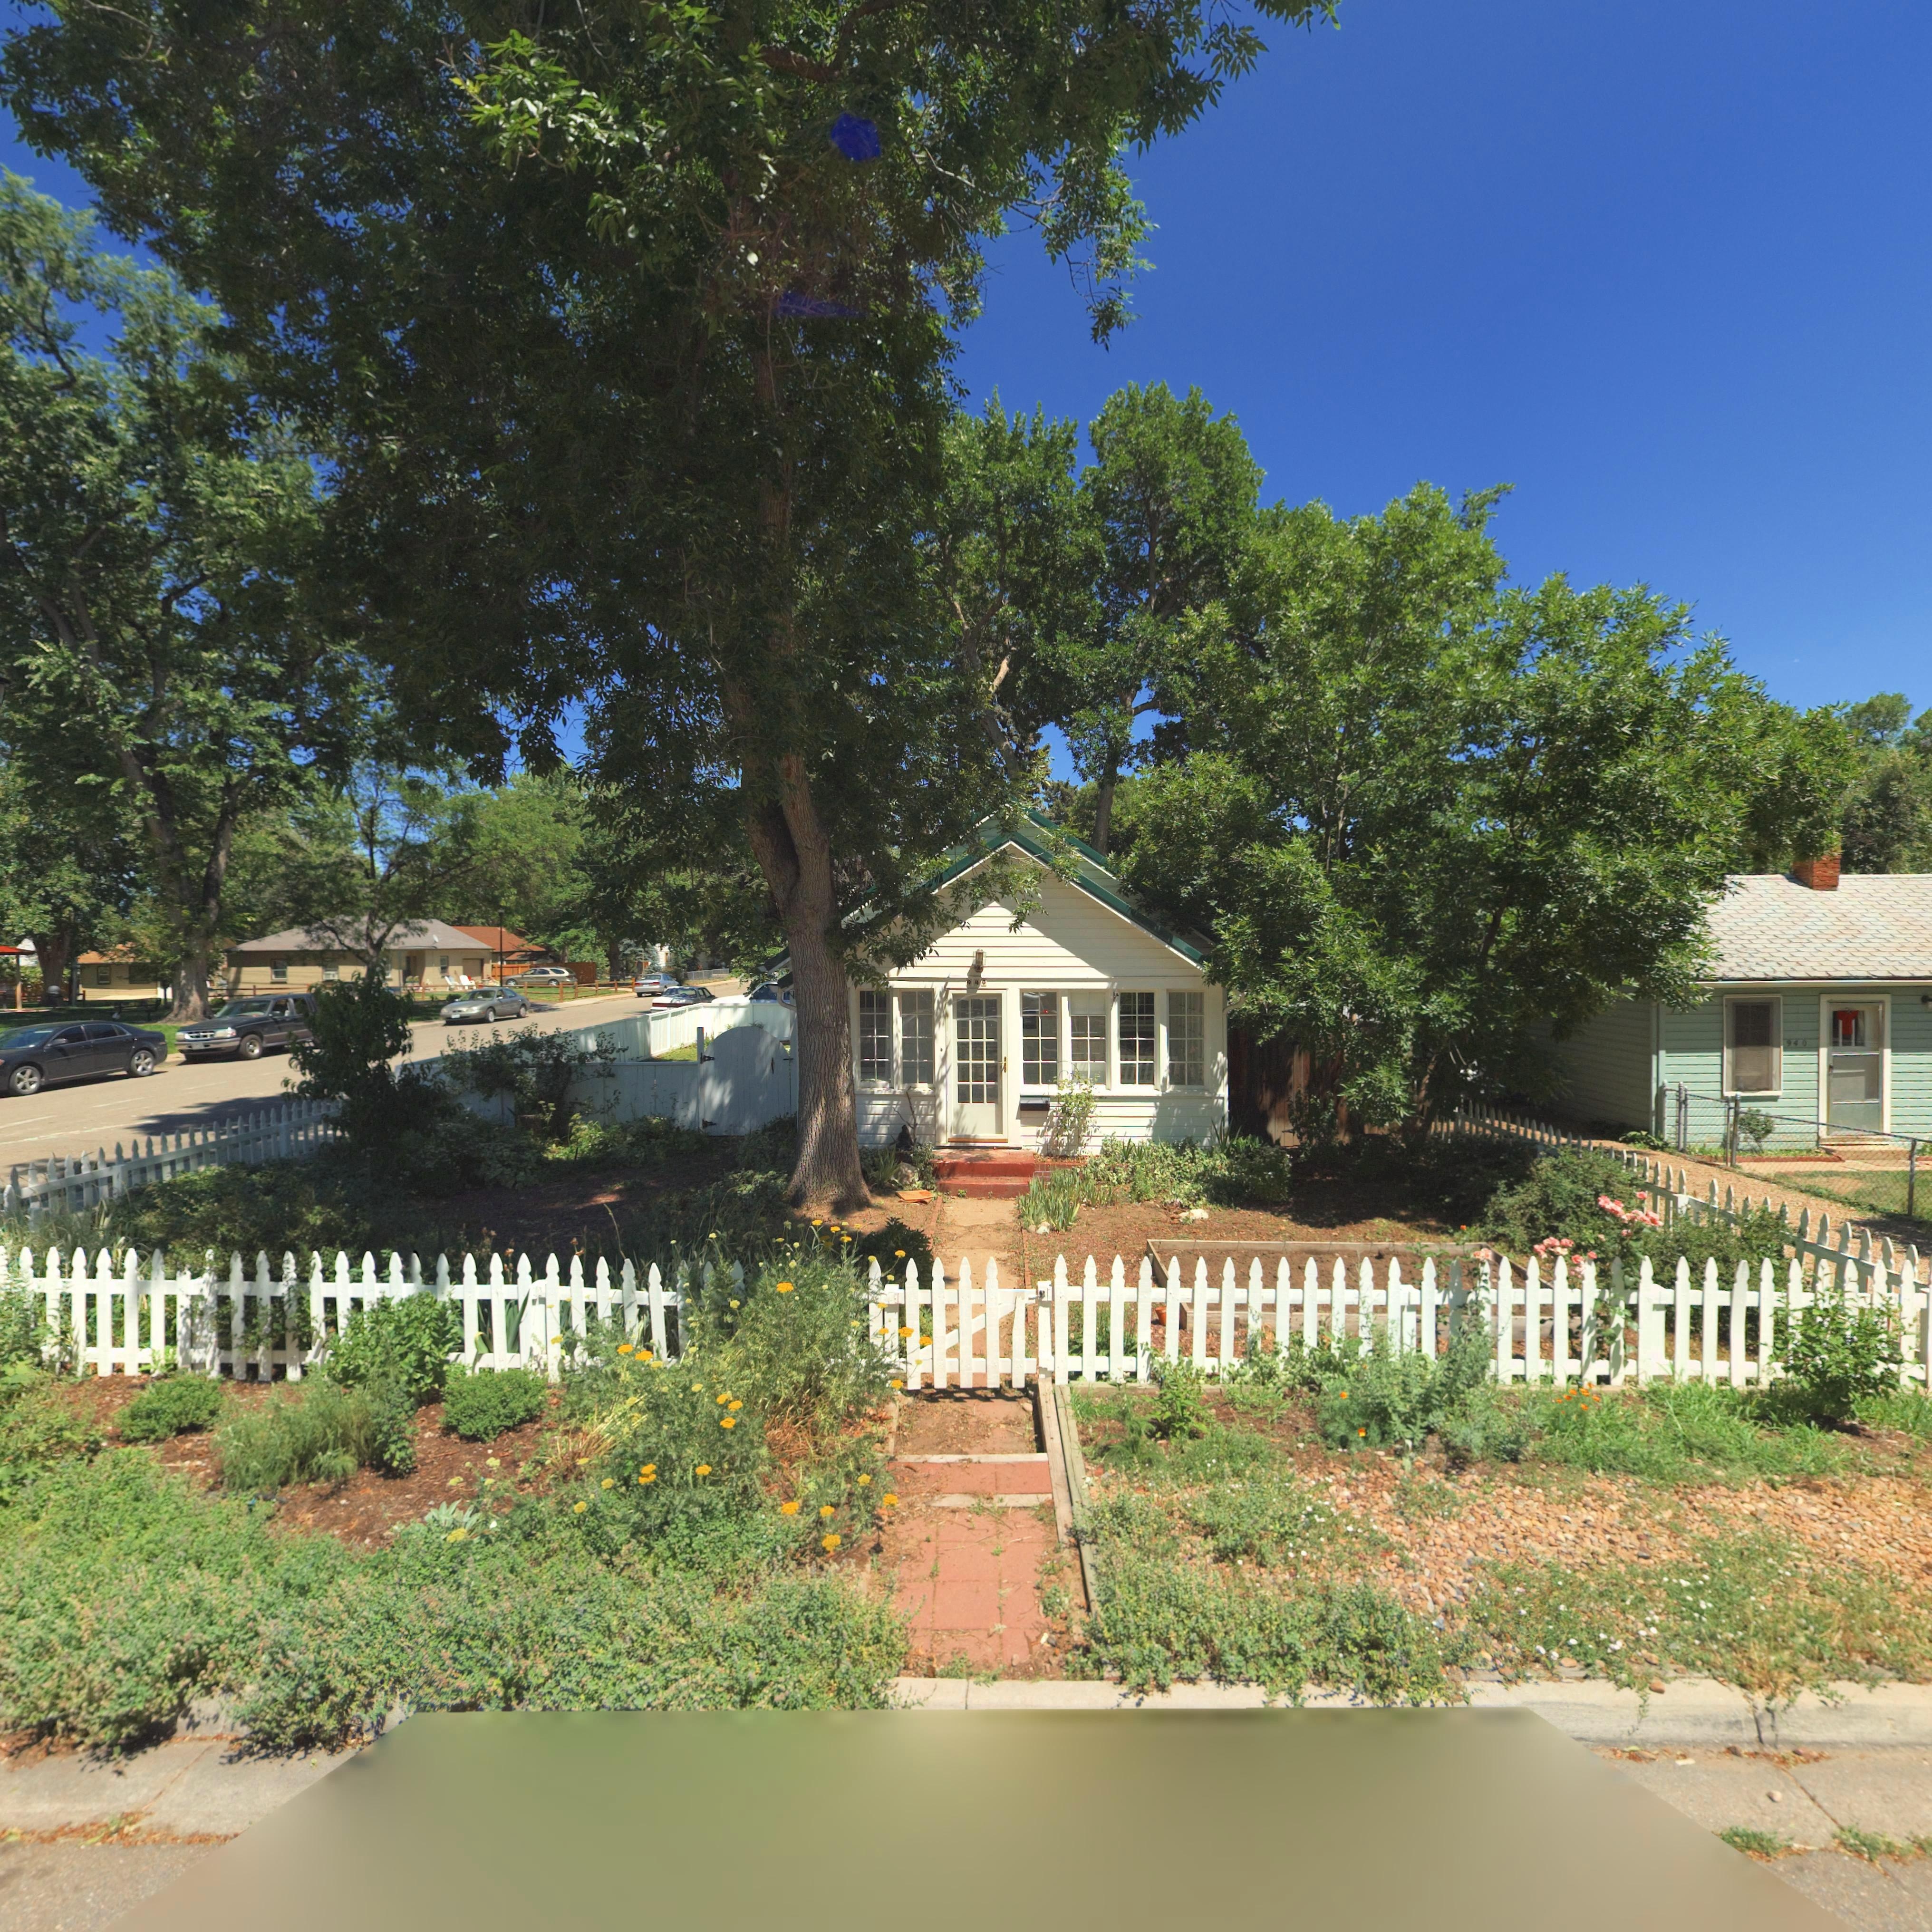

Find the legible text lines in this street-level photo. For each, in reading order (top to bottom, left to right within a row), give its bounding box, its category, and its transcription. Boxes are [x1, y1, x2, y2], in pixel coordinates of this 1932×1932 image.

[966, 979, 987, 985] StreetNumber: 948
[1785, 1036, 1809, 1049] StreetNumber: 940